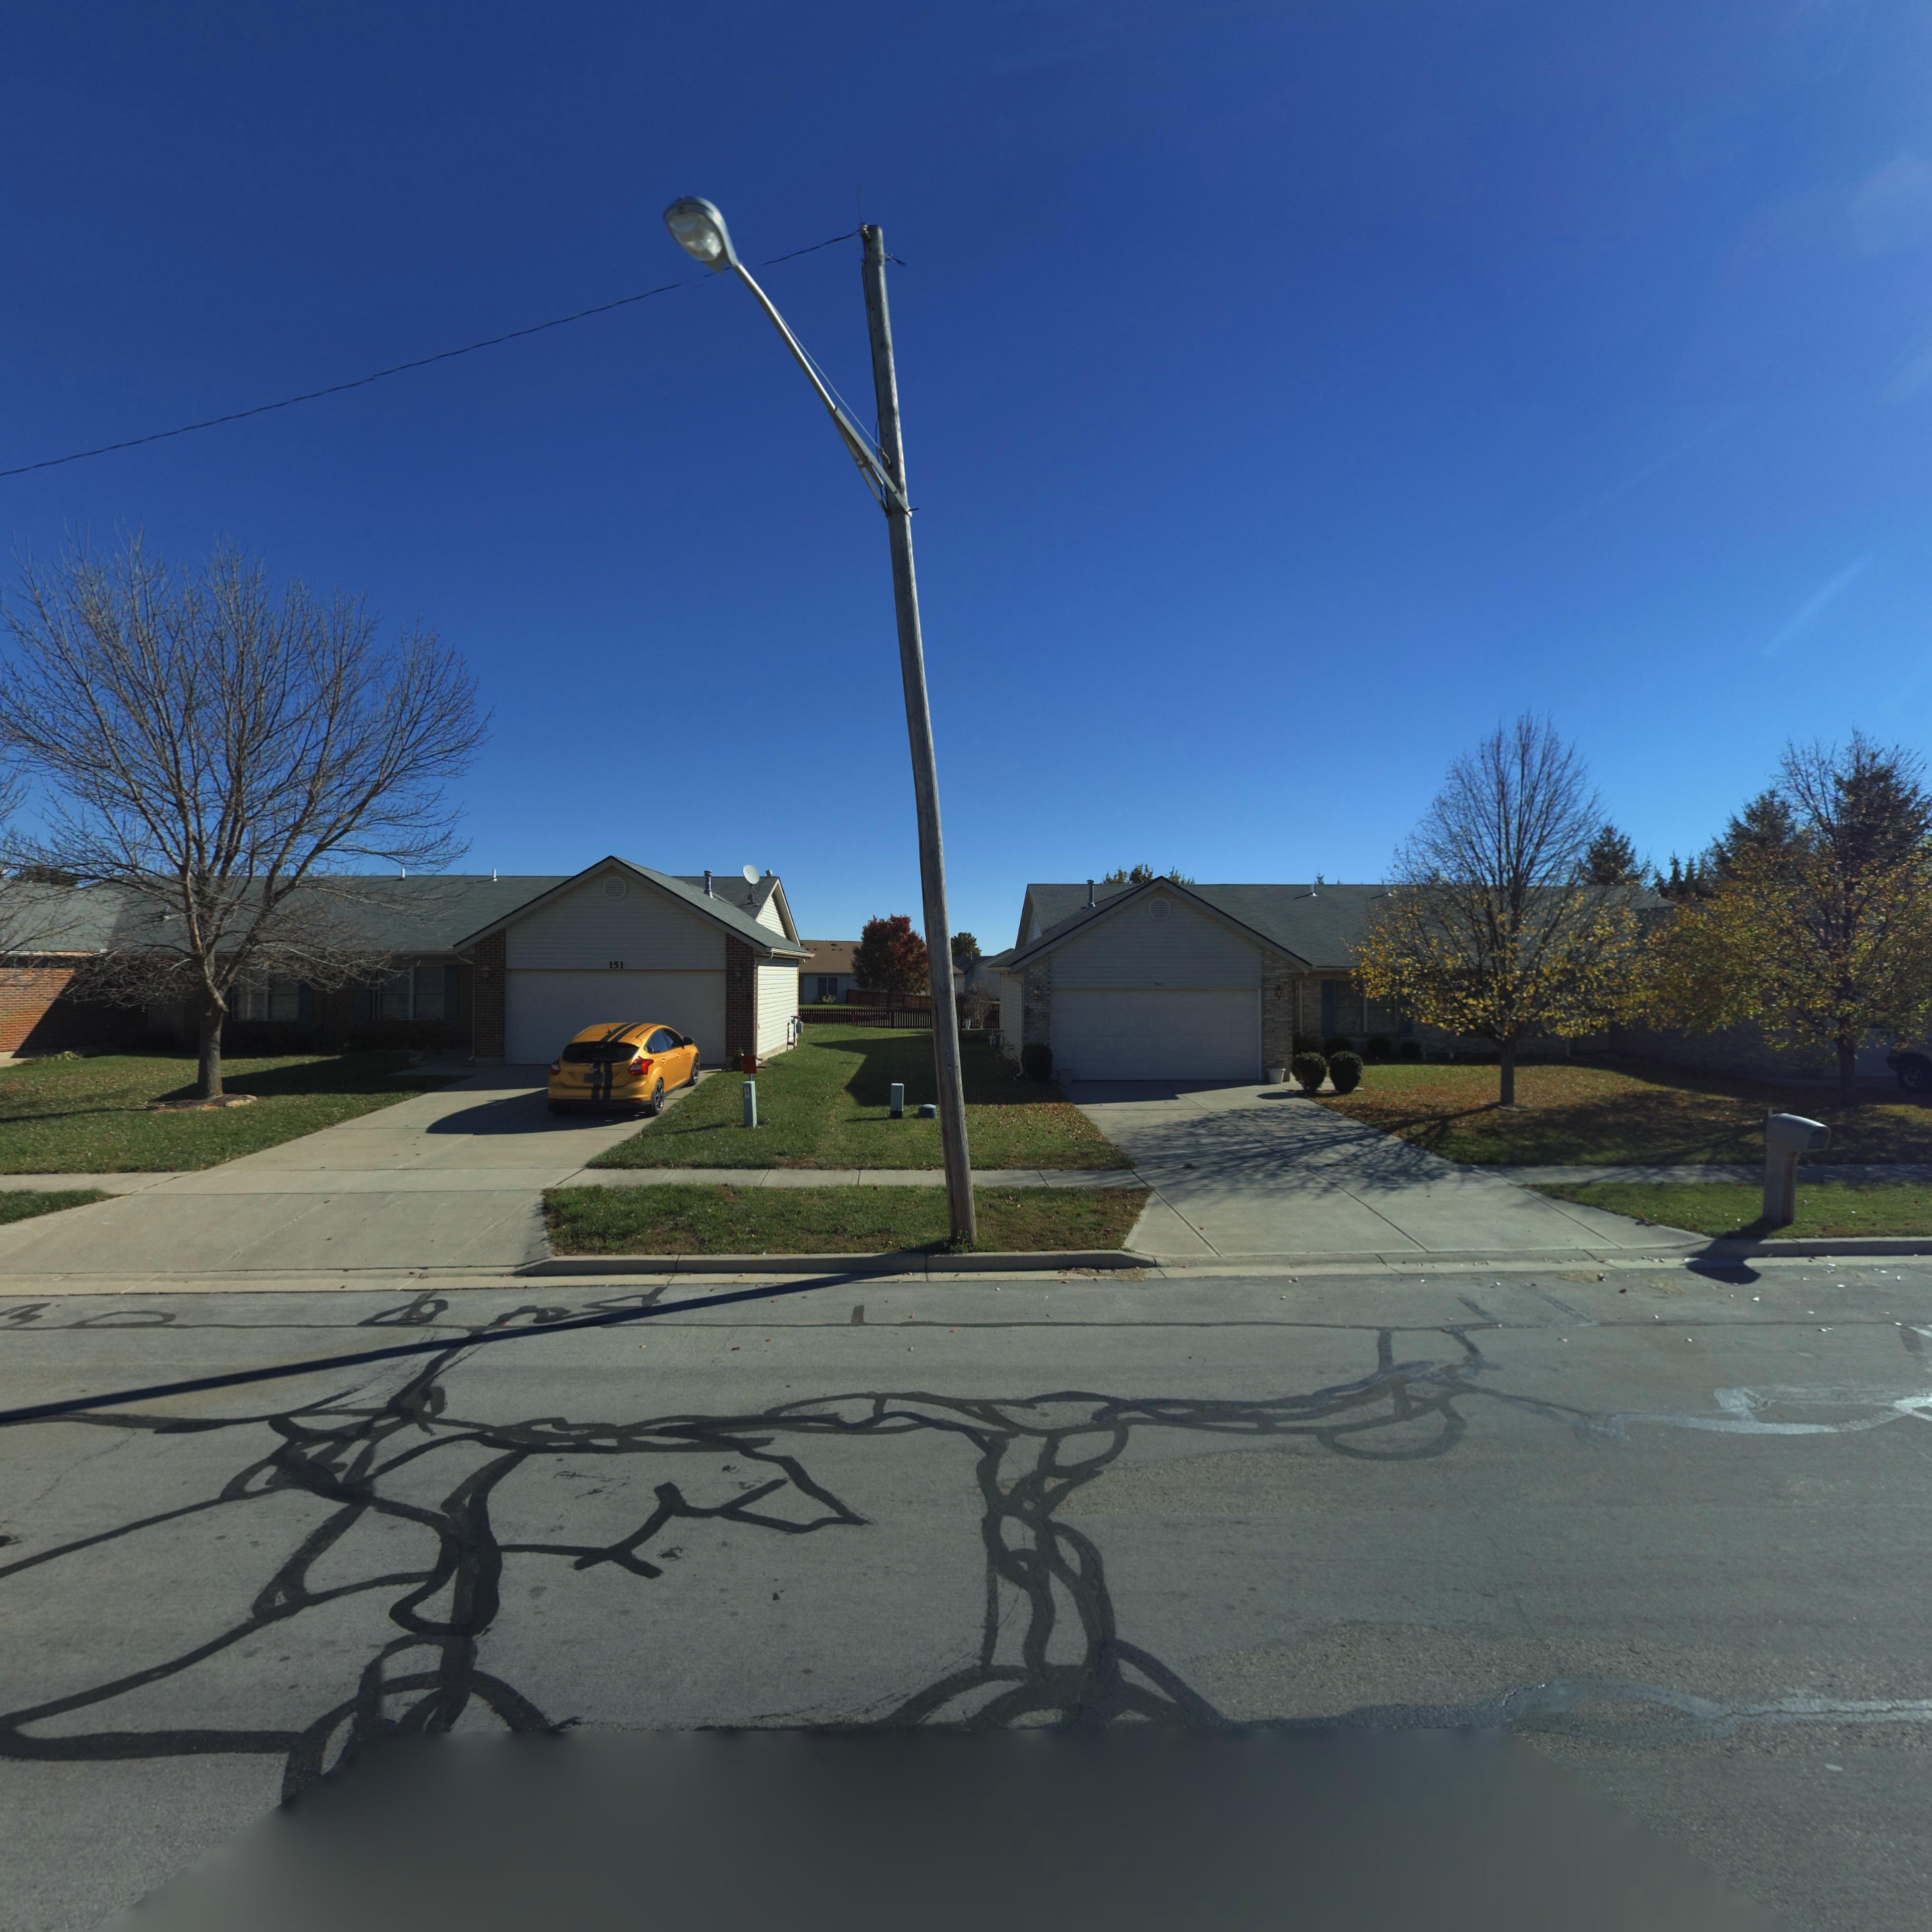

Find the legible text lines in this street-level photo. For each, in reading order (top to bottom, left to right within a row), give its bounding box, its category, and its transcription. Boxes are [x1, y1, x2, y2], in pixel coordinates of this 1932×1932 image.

[608, 960, 624, 969] StreetNumber: 151
[1154, 982, 1163, 986] StreetNumber: 153